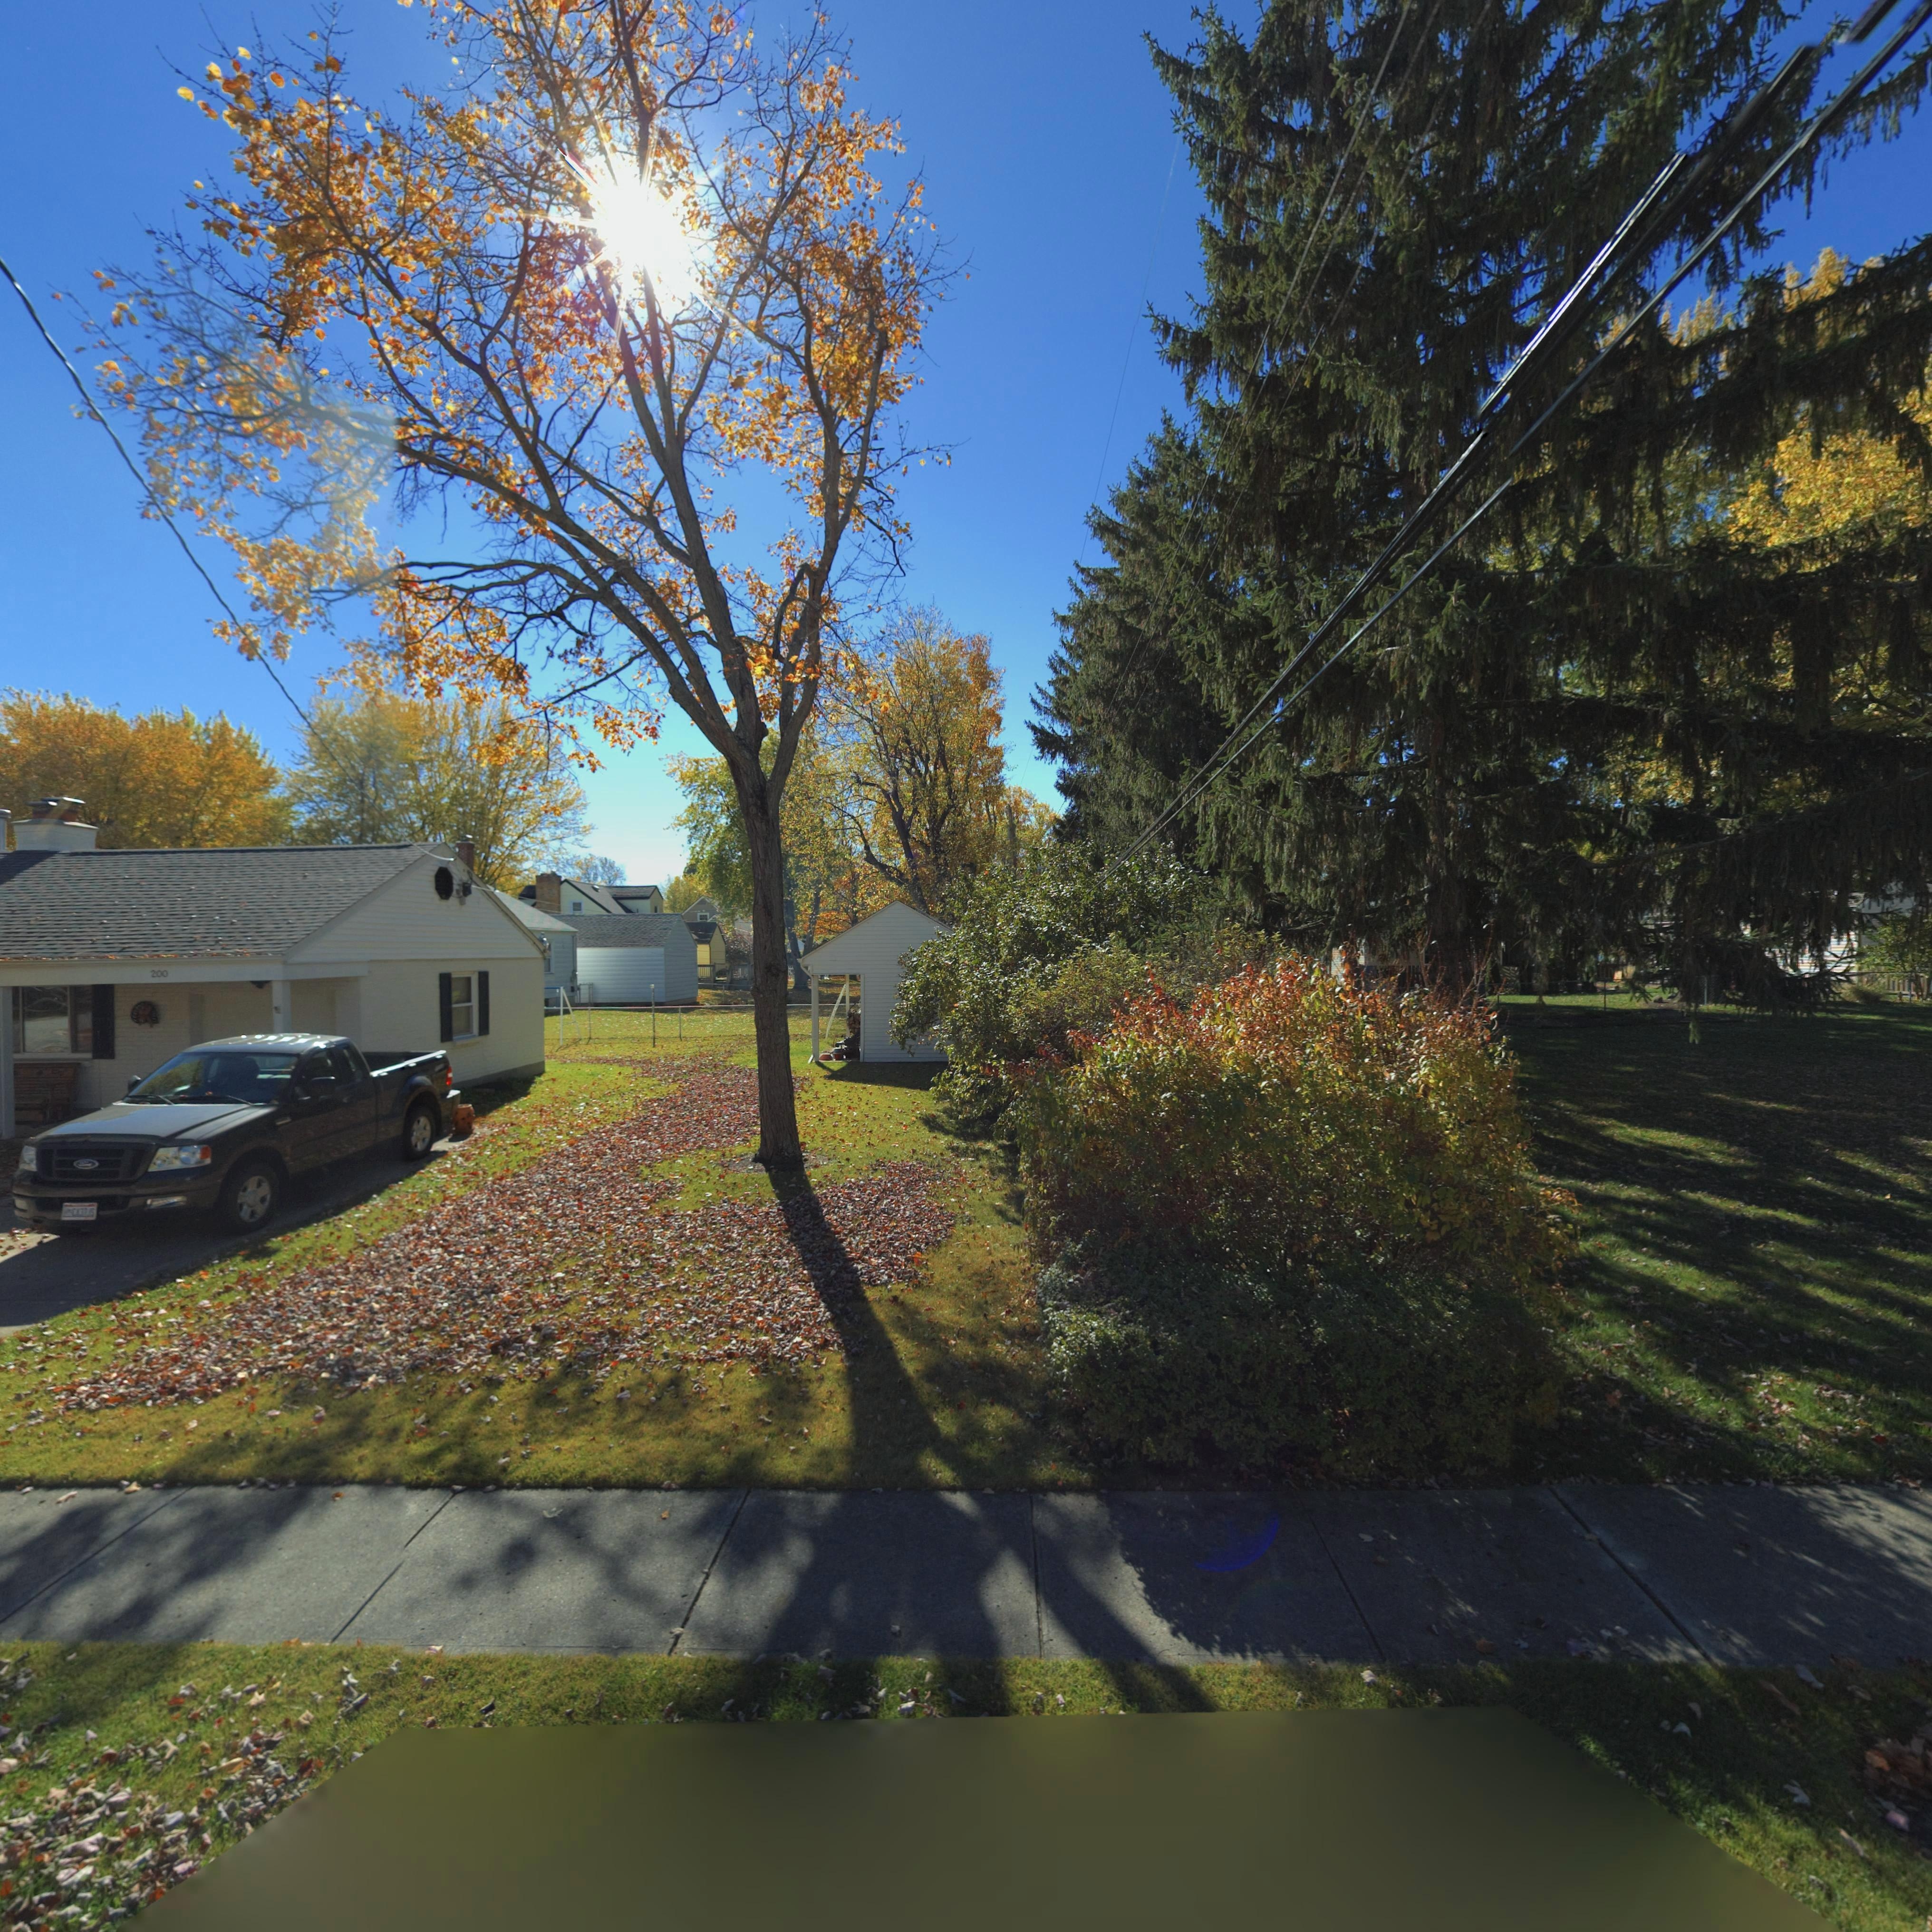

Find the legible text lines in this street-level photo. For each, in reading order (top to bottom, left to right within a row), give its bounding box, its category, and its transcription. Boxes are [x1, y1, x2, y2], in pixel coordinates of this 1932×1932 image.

[150, 968, 170, 979] StreetNumber: 200